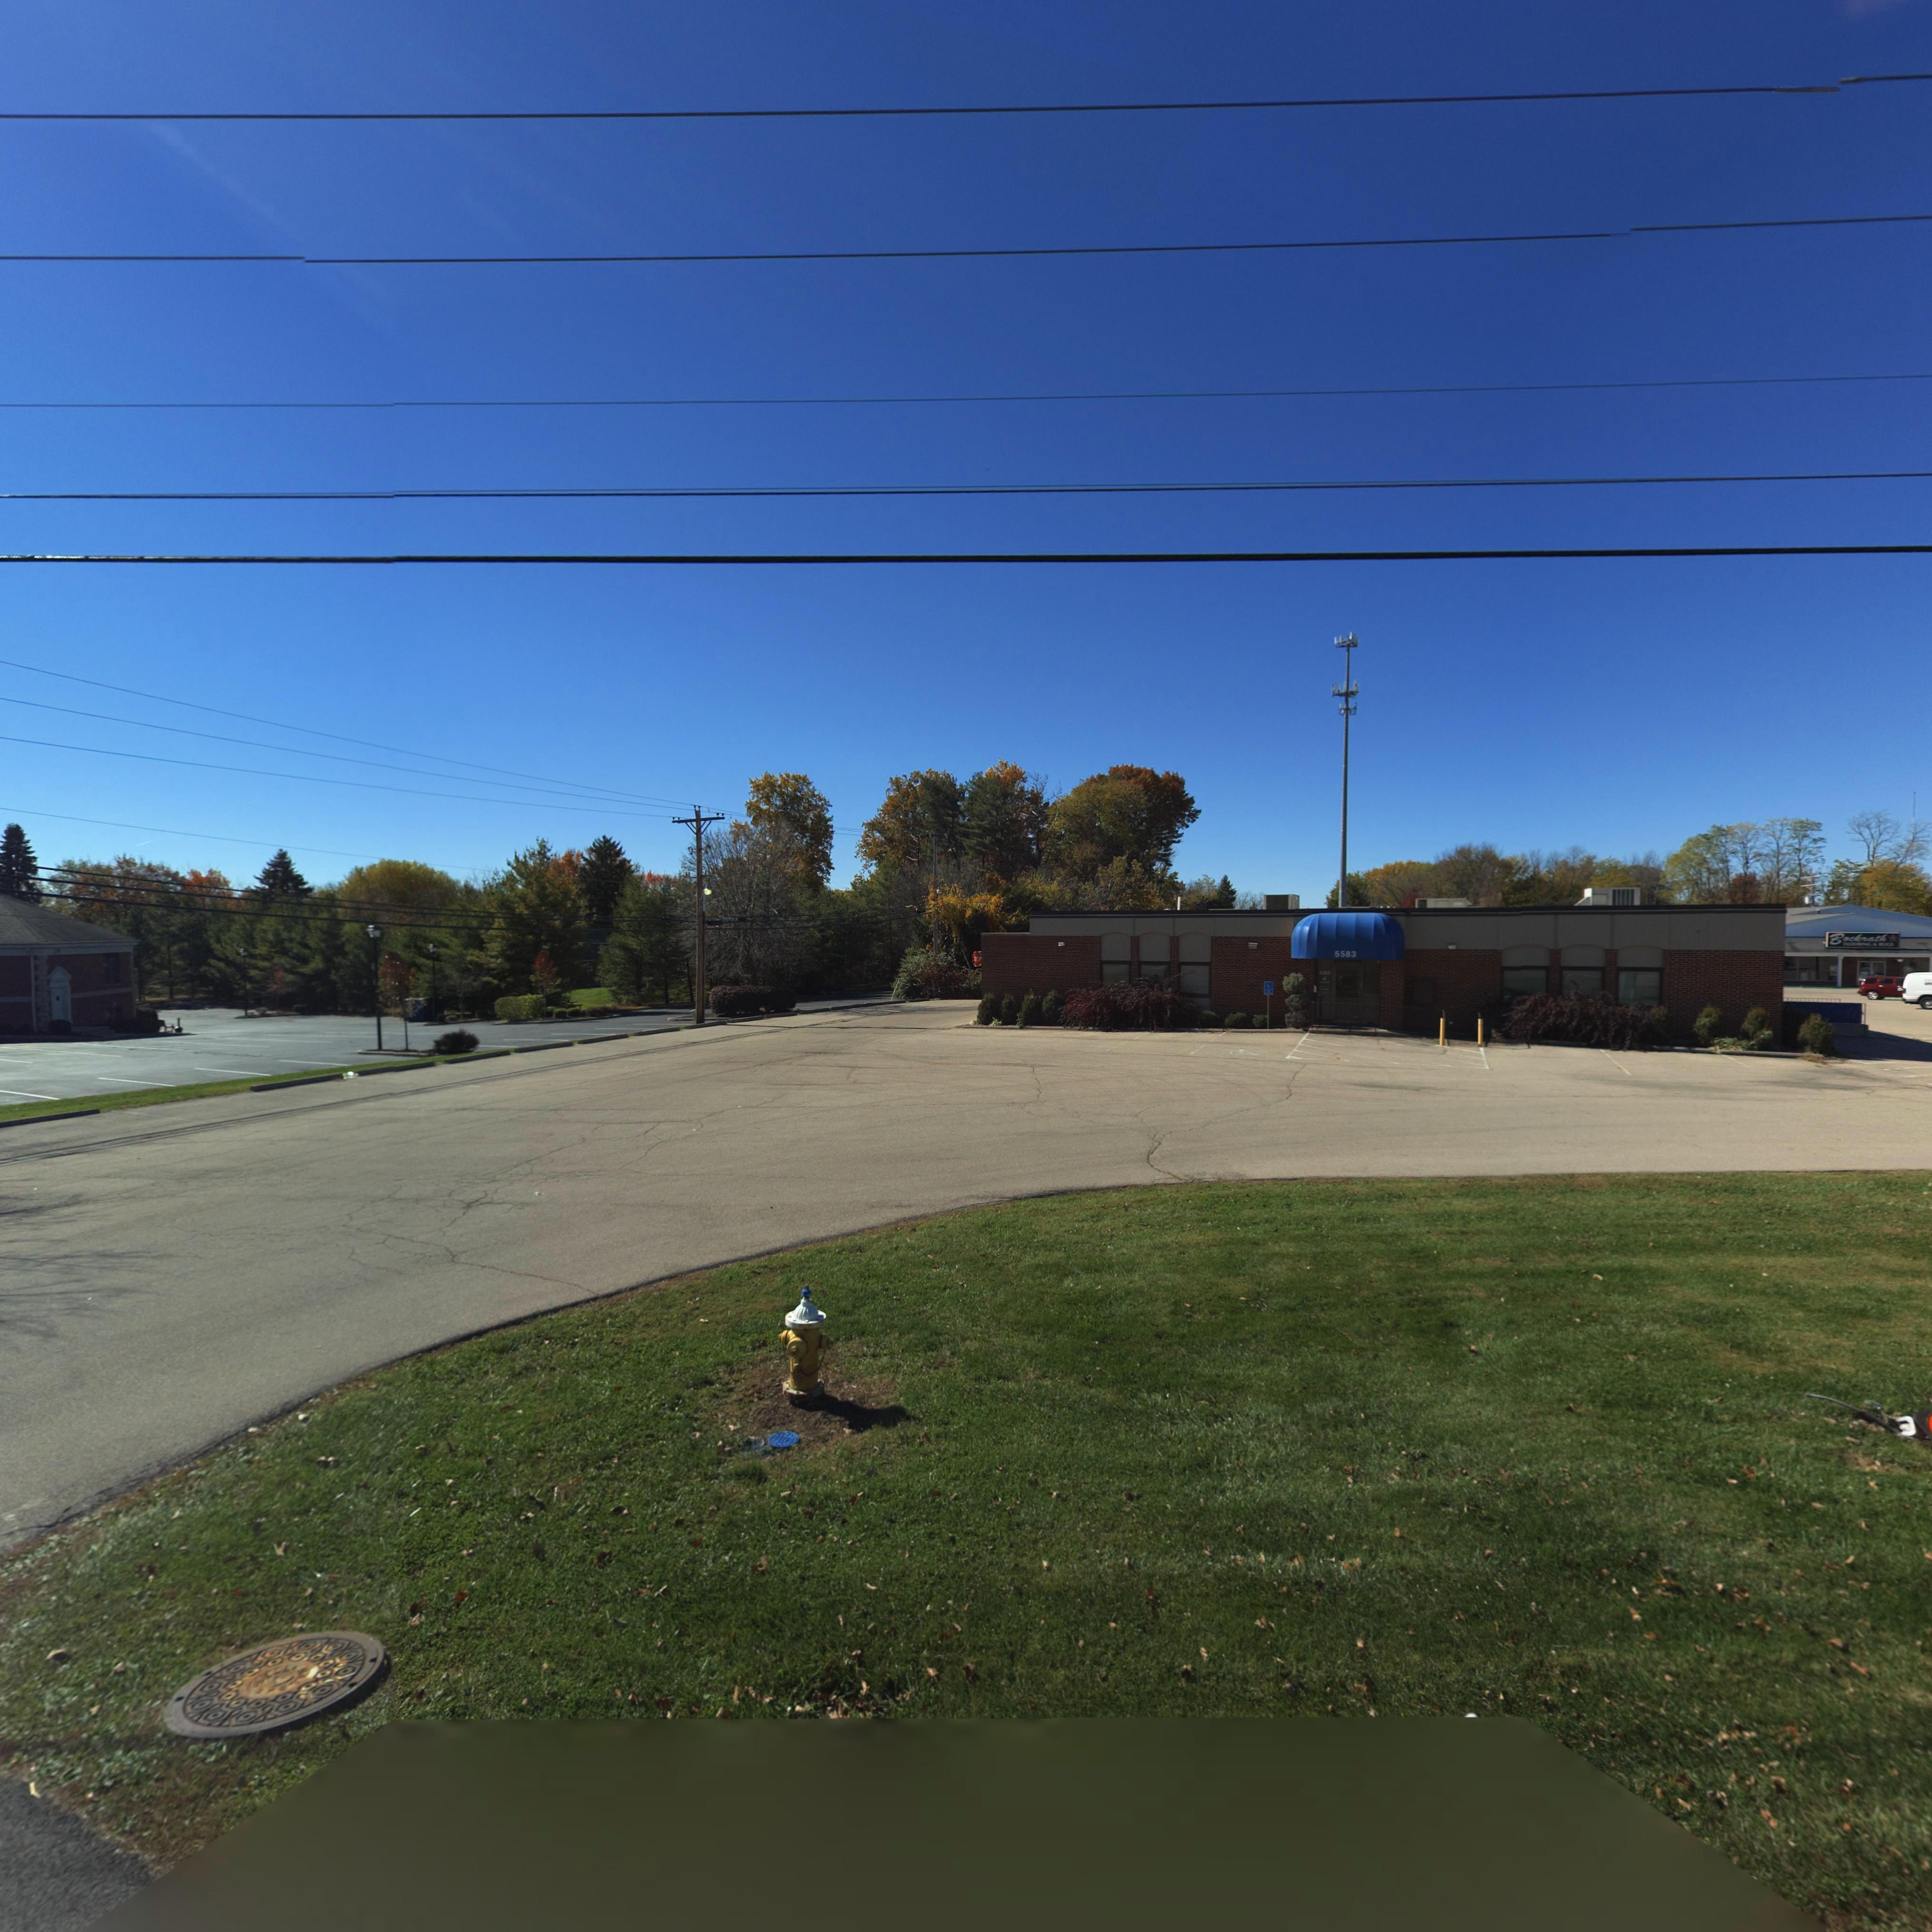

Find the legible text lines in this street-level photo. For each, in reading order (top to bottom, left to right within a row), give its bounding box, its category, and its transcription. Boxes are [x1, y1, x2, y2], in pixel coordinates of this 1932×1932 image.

[1828, 933, 1889, 946] BusinessName: Bockrath
[1863, 941, 1895, 947] BusinessName: NG & RUGS
[1334, 950, 1357, 958] StreetNumber: 5583
[1319, 970, 1331, 976] StreetNumber: 5**3